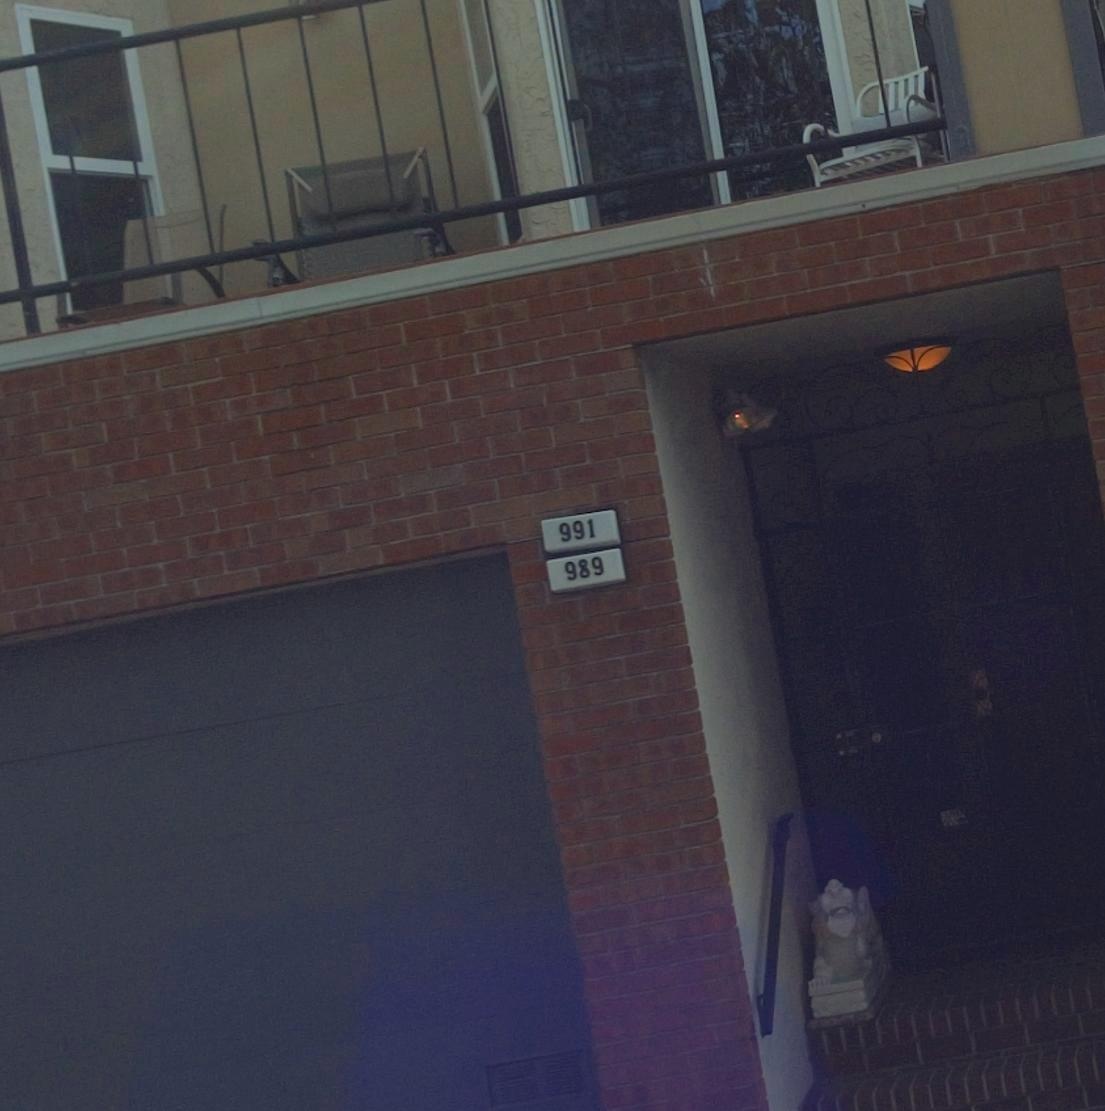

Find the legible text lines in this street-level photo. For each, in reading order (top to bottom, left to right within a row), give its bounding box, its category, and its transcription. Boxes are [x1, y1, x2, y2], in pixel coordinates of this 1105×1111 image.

[558, 517, 598, 544] StreetNumber: 991
[563, 554, 607, 583] StreetNumber: 989